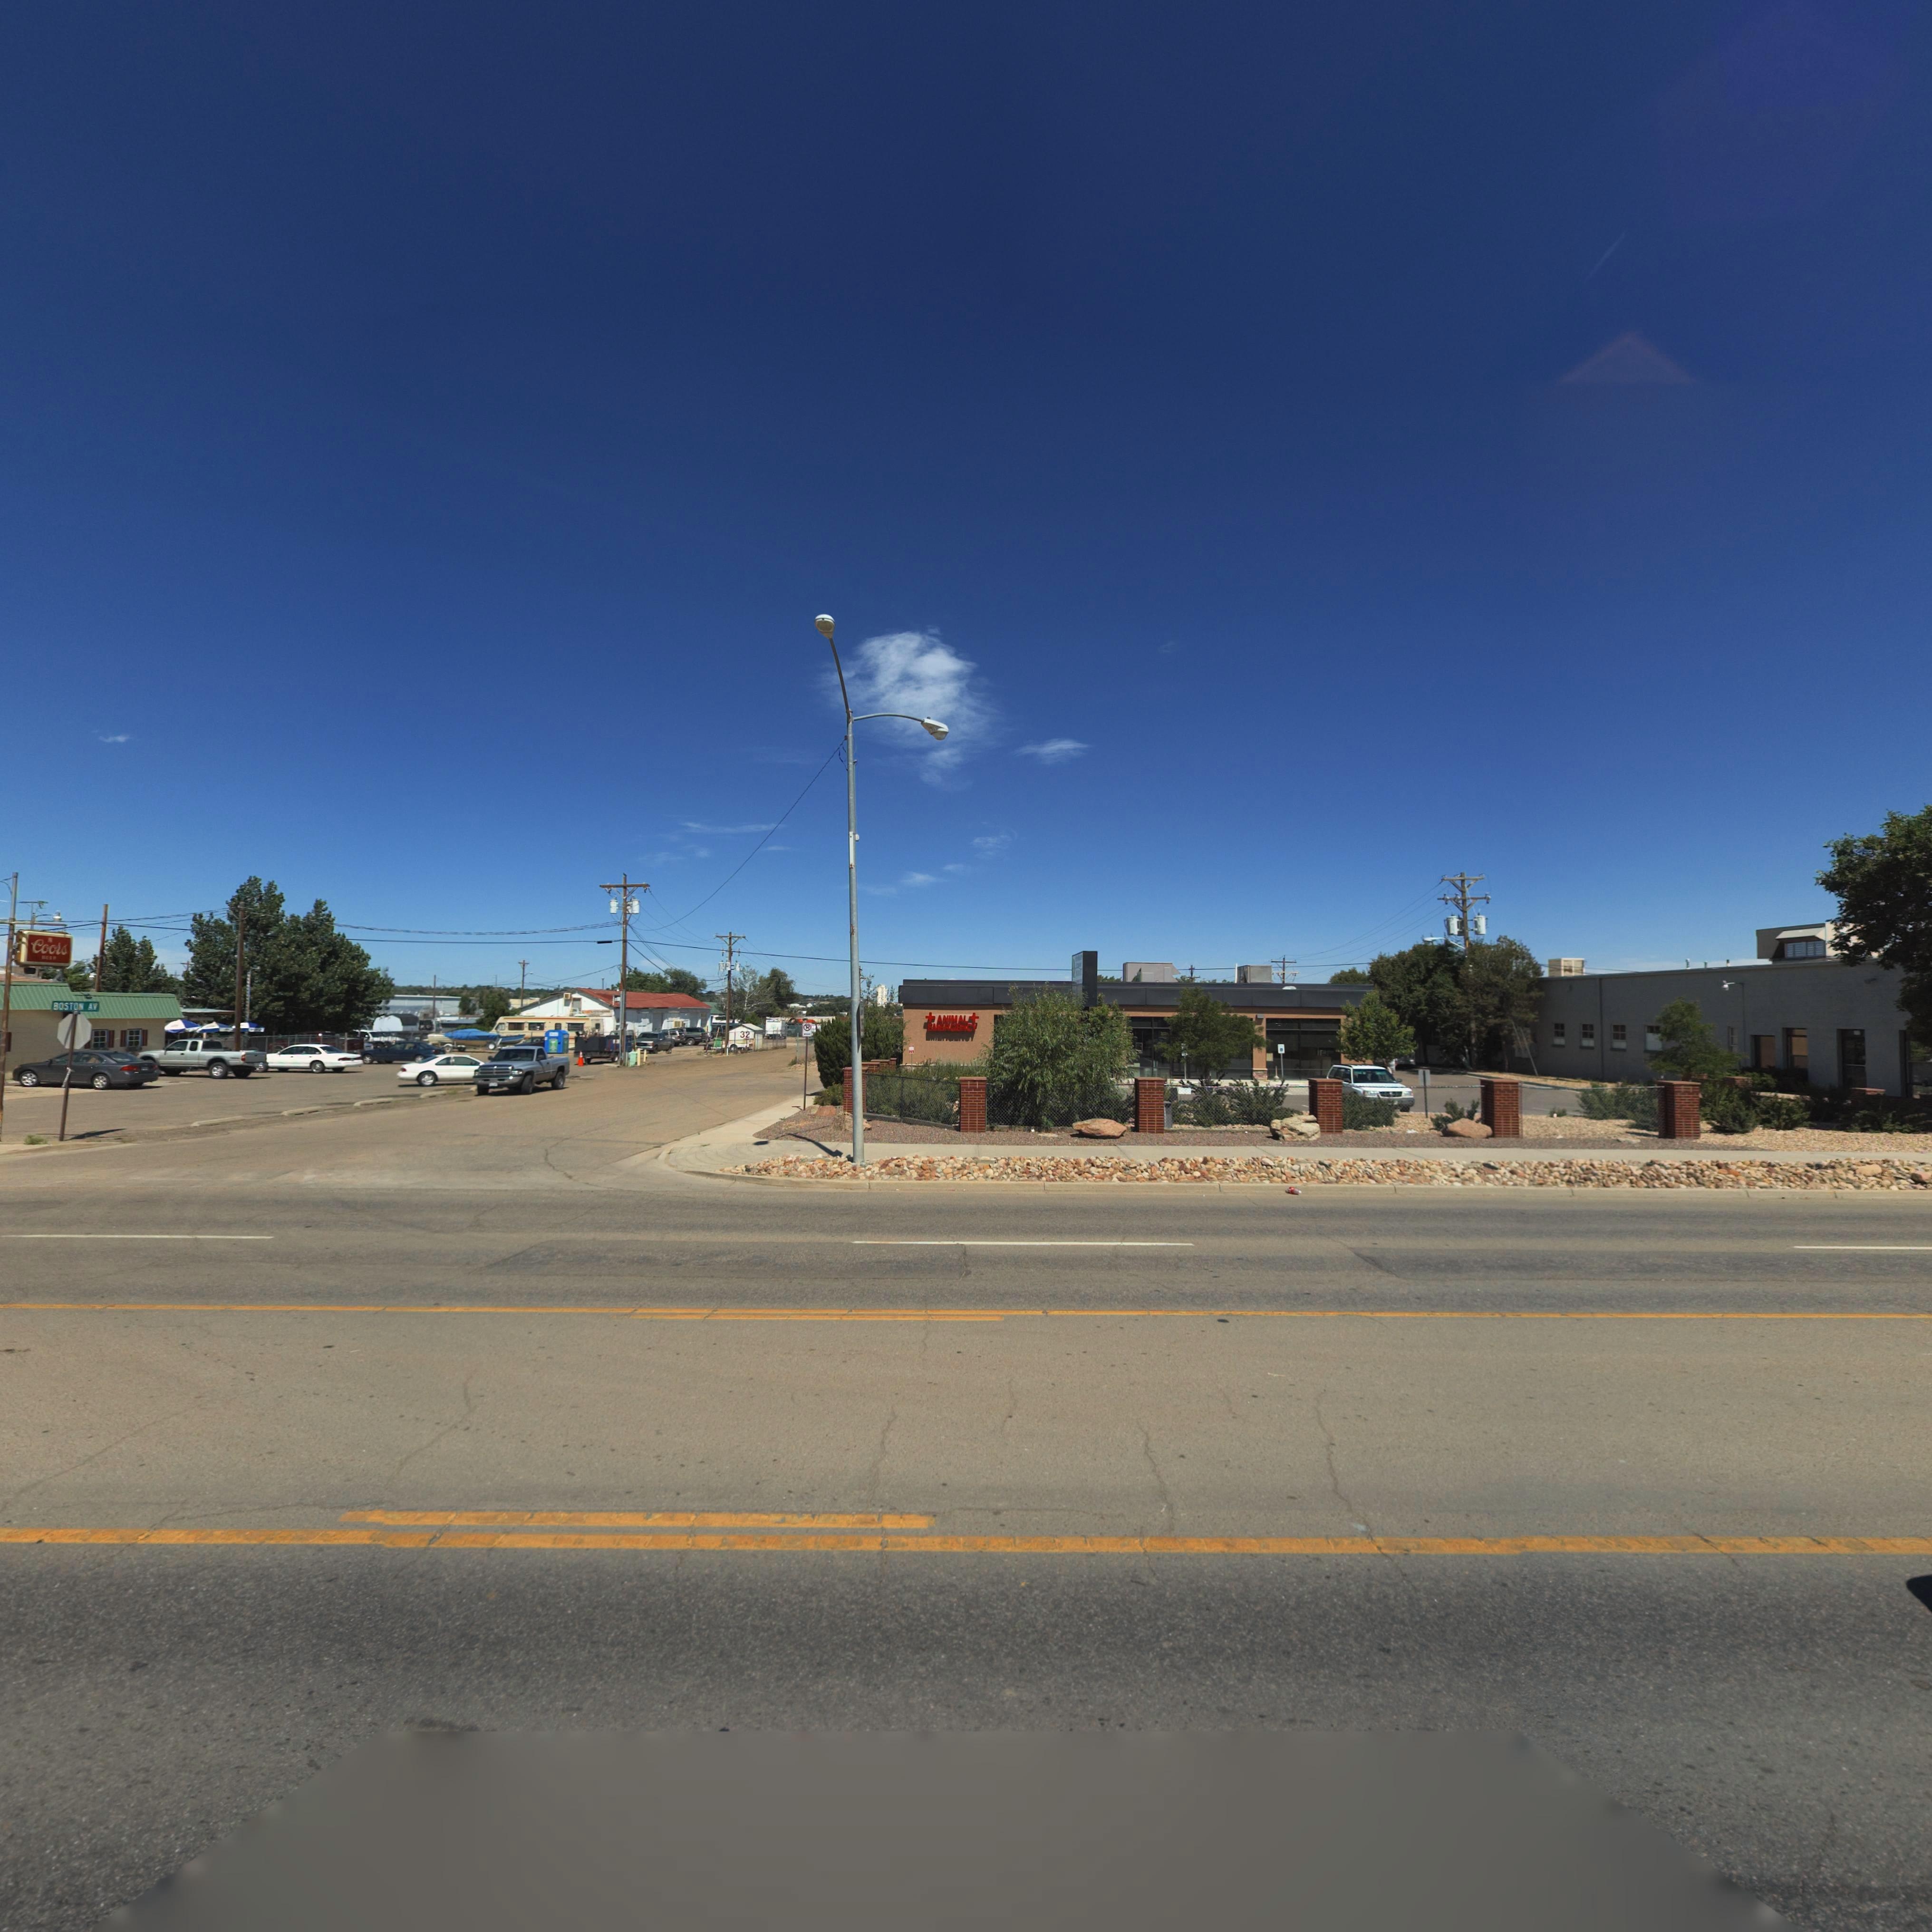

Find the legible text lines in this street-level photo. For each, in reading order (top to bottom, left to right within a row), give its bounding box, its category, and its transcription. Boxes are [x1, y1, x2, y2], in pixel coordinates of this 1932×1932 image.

[52, 1002, 98, 1010] StreetName: BOSTON AV